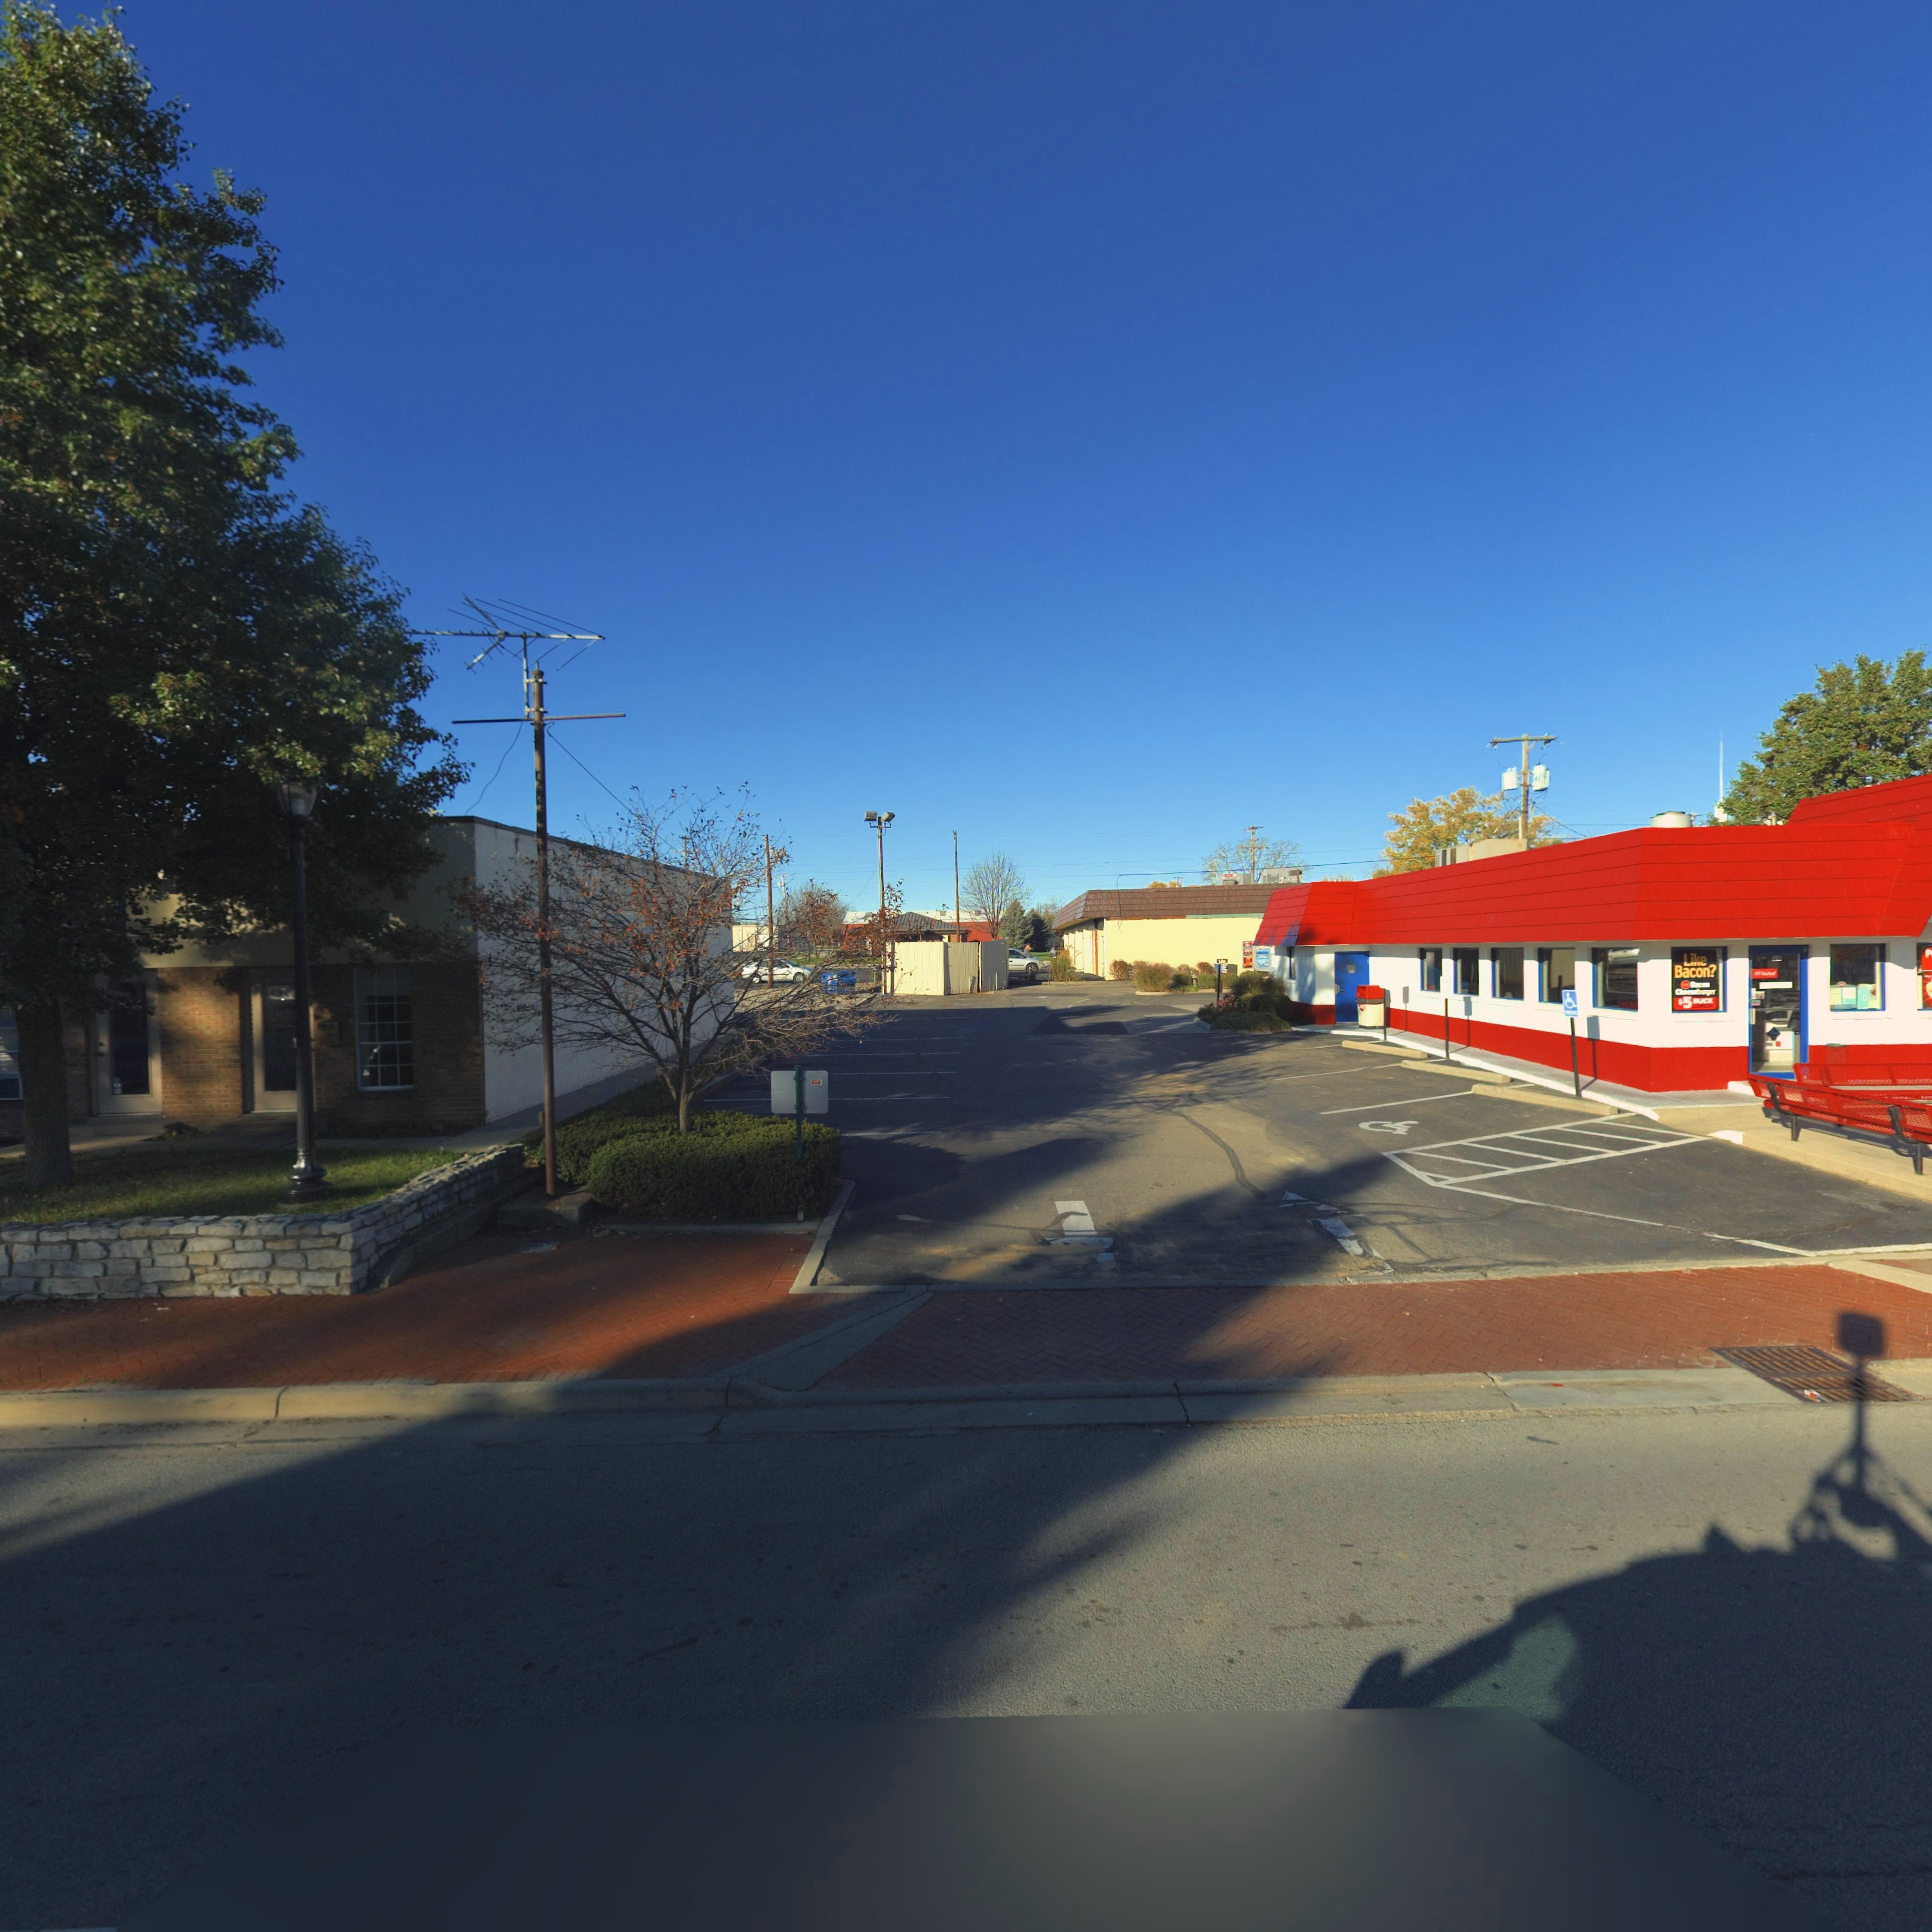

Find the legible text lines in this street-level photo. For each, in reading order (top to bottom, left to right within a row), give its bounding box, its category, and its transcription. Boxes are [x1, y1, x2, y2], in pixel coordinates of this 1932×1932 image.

[1683, 950, 1707, 967] None: Like
[1772, 955, 1781, 961] StreetNumber: 29
[1671, 963, 1718, 978] None: Bacon
[1689, 979, 1710, 988] None: B****
[1673, 986, 1716, 996] None: C***********
[1681, 995, 1692, 1009] None: 5
[1692, 997, 1713, 1005] None: BUCK